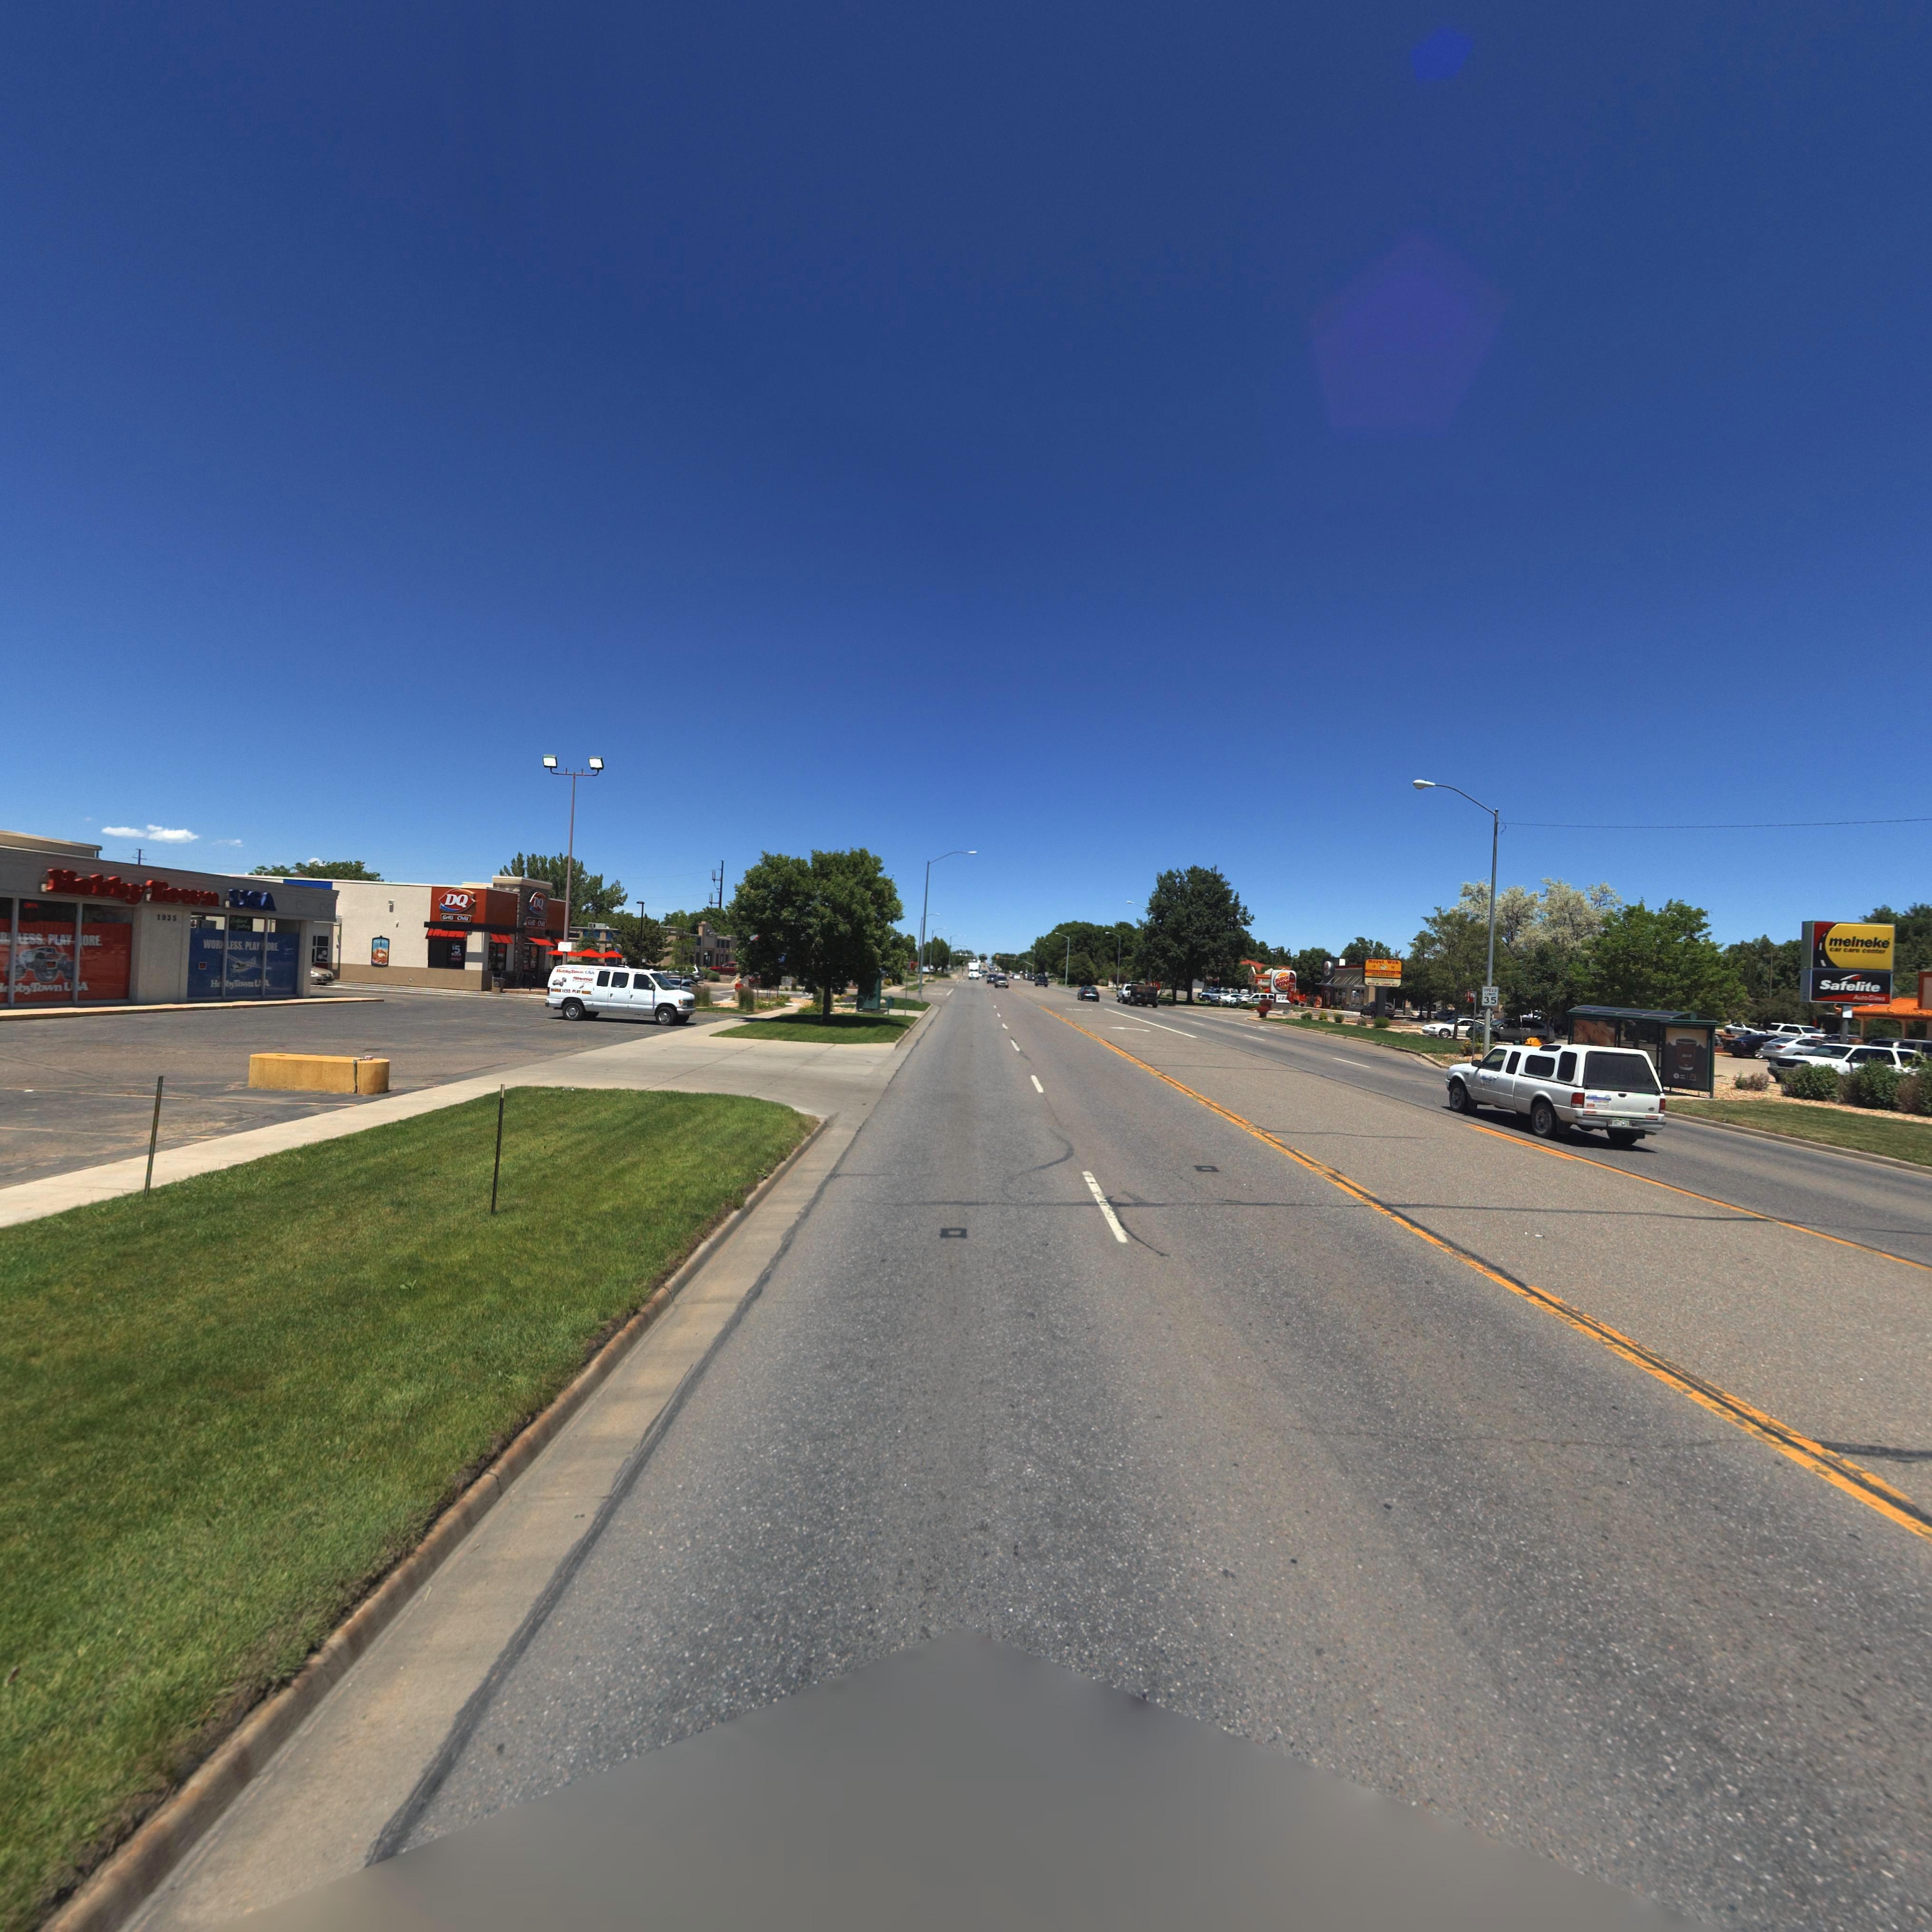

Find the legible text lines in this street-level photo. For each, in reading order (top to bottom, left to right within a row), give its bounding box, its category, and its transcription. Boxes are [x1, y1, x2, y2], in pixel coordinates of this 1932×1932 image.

[44, 866, 278, 912] BusinessName: Hobby Town USA
[444, 893, 469, 908] BusinessName: DQ
[533, 896, 543, 909] BusinessName: DQ
[157, 913, 177, 921] StreetNumber: 1935
[442, 915, 469, 920] BusinessName: Grill&Chill
[527, 918, 545, 927] BusinessName: Grill&Chill
[1828, 935, 1890, 948] BusinessName: meineke
[1368, 959, 1399, 964] BusinessName: Royal Wok
[0, 980, 90, 995] BusinessName: H**byTownU*A
[209, 978, 270, 990] BusinessName: H**byTownU*A
[1275, 975, 1288, 983] BusinessName: BURGER
[1276, 979, 1288, 988] BusinessName: KIN
[1818, 979, 1882, 992] BusinessName: Safelite